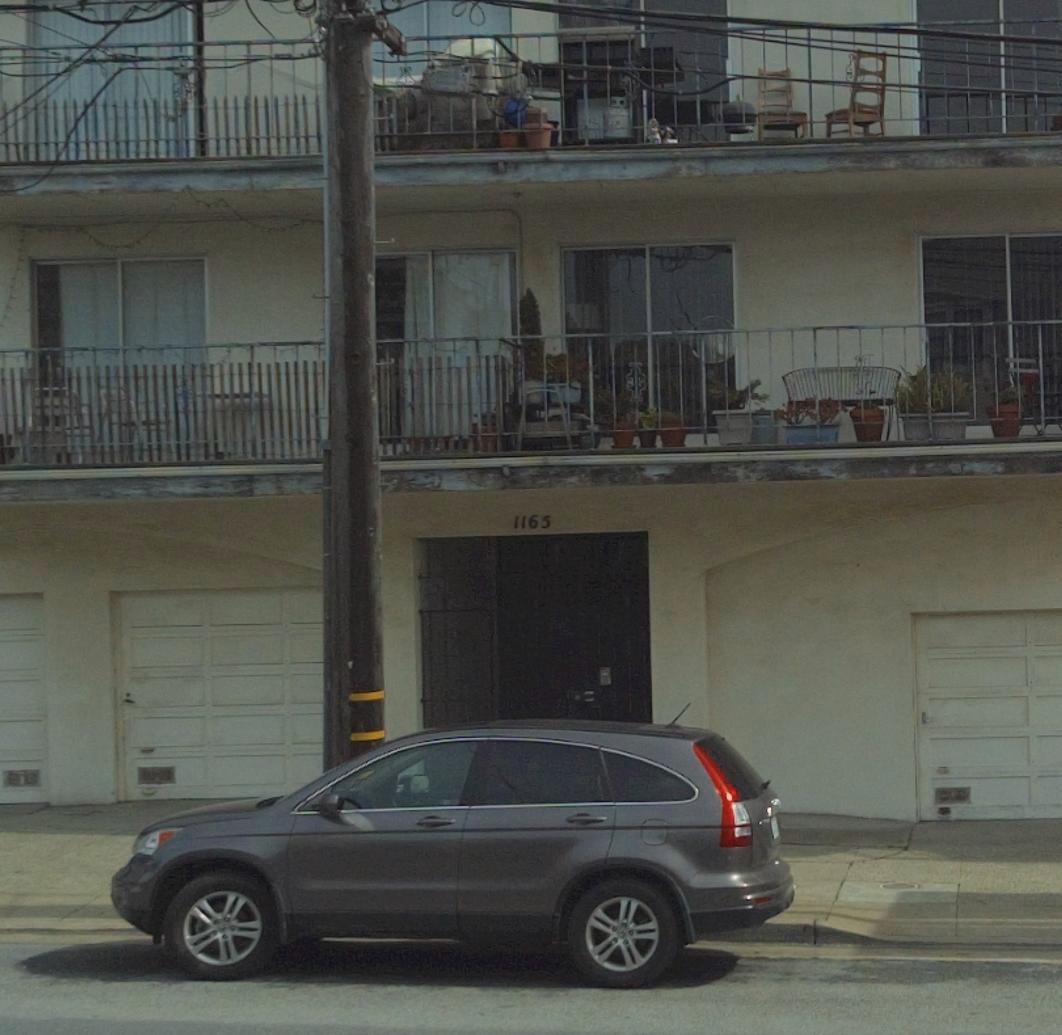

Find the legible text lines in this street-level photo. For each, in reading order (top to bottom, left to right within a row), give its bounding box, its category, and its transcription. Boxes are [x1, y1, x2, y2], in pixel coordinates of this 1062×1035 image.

[512, 512, 552, 531] StreetNumber: 1165